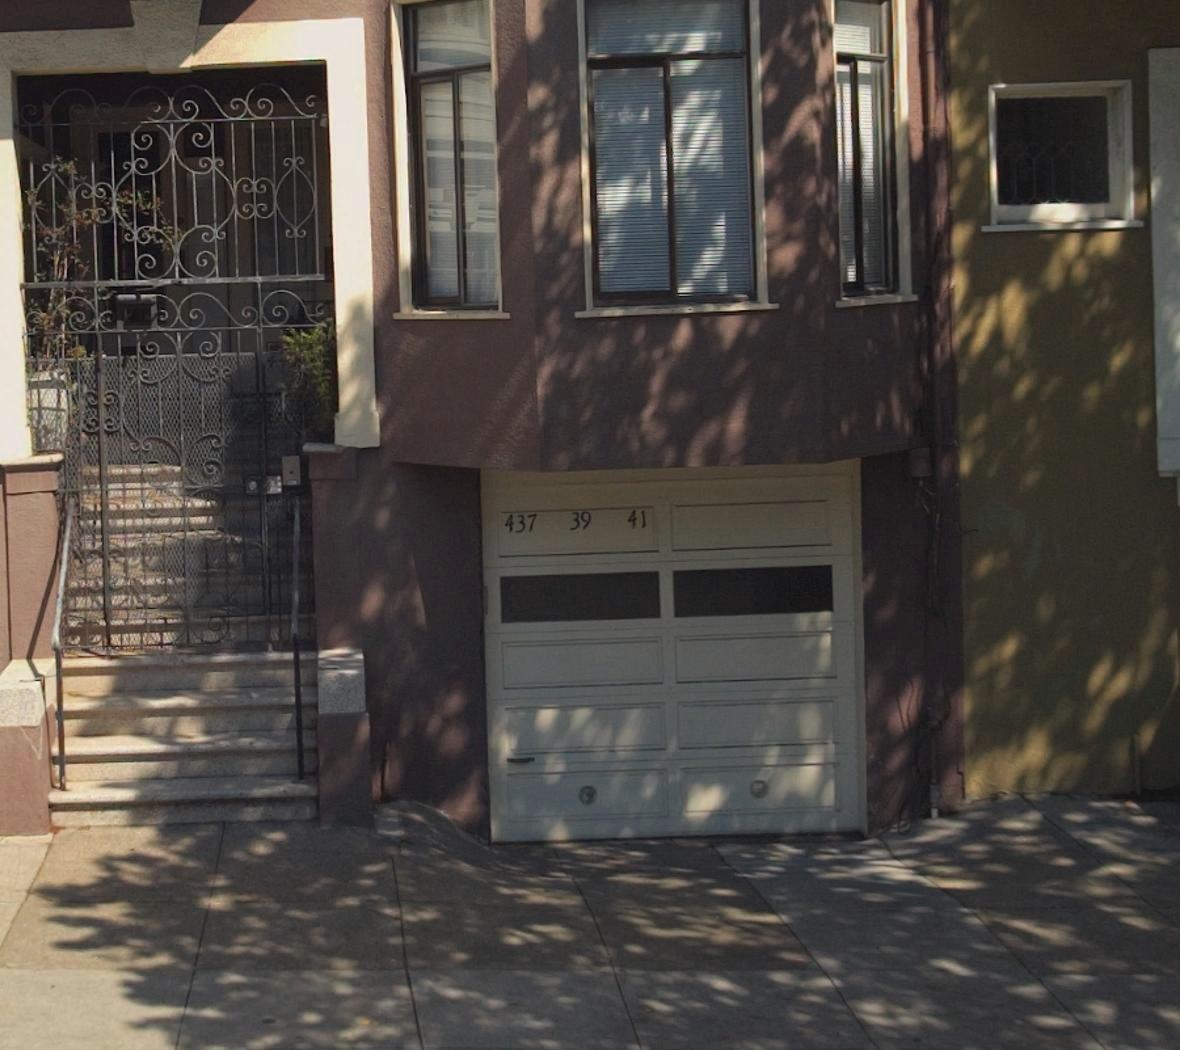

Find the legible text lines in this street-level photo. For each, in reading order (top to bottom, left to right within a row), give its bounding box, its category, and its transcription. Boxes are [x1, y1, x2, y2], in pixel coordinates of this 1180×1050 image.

[505, 513, 539, 535] StreetNumber: 437
[569, 510, 592, 532] StreetNumber: 39
[627, 509, 646, 530] StreetNumber: 41